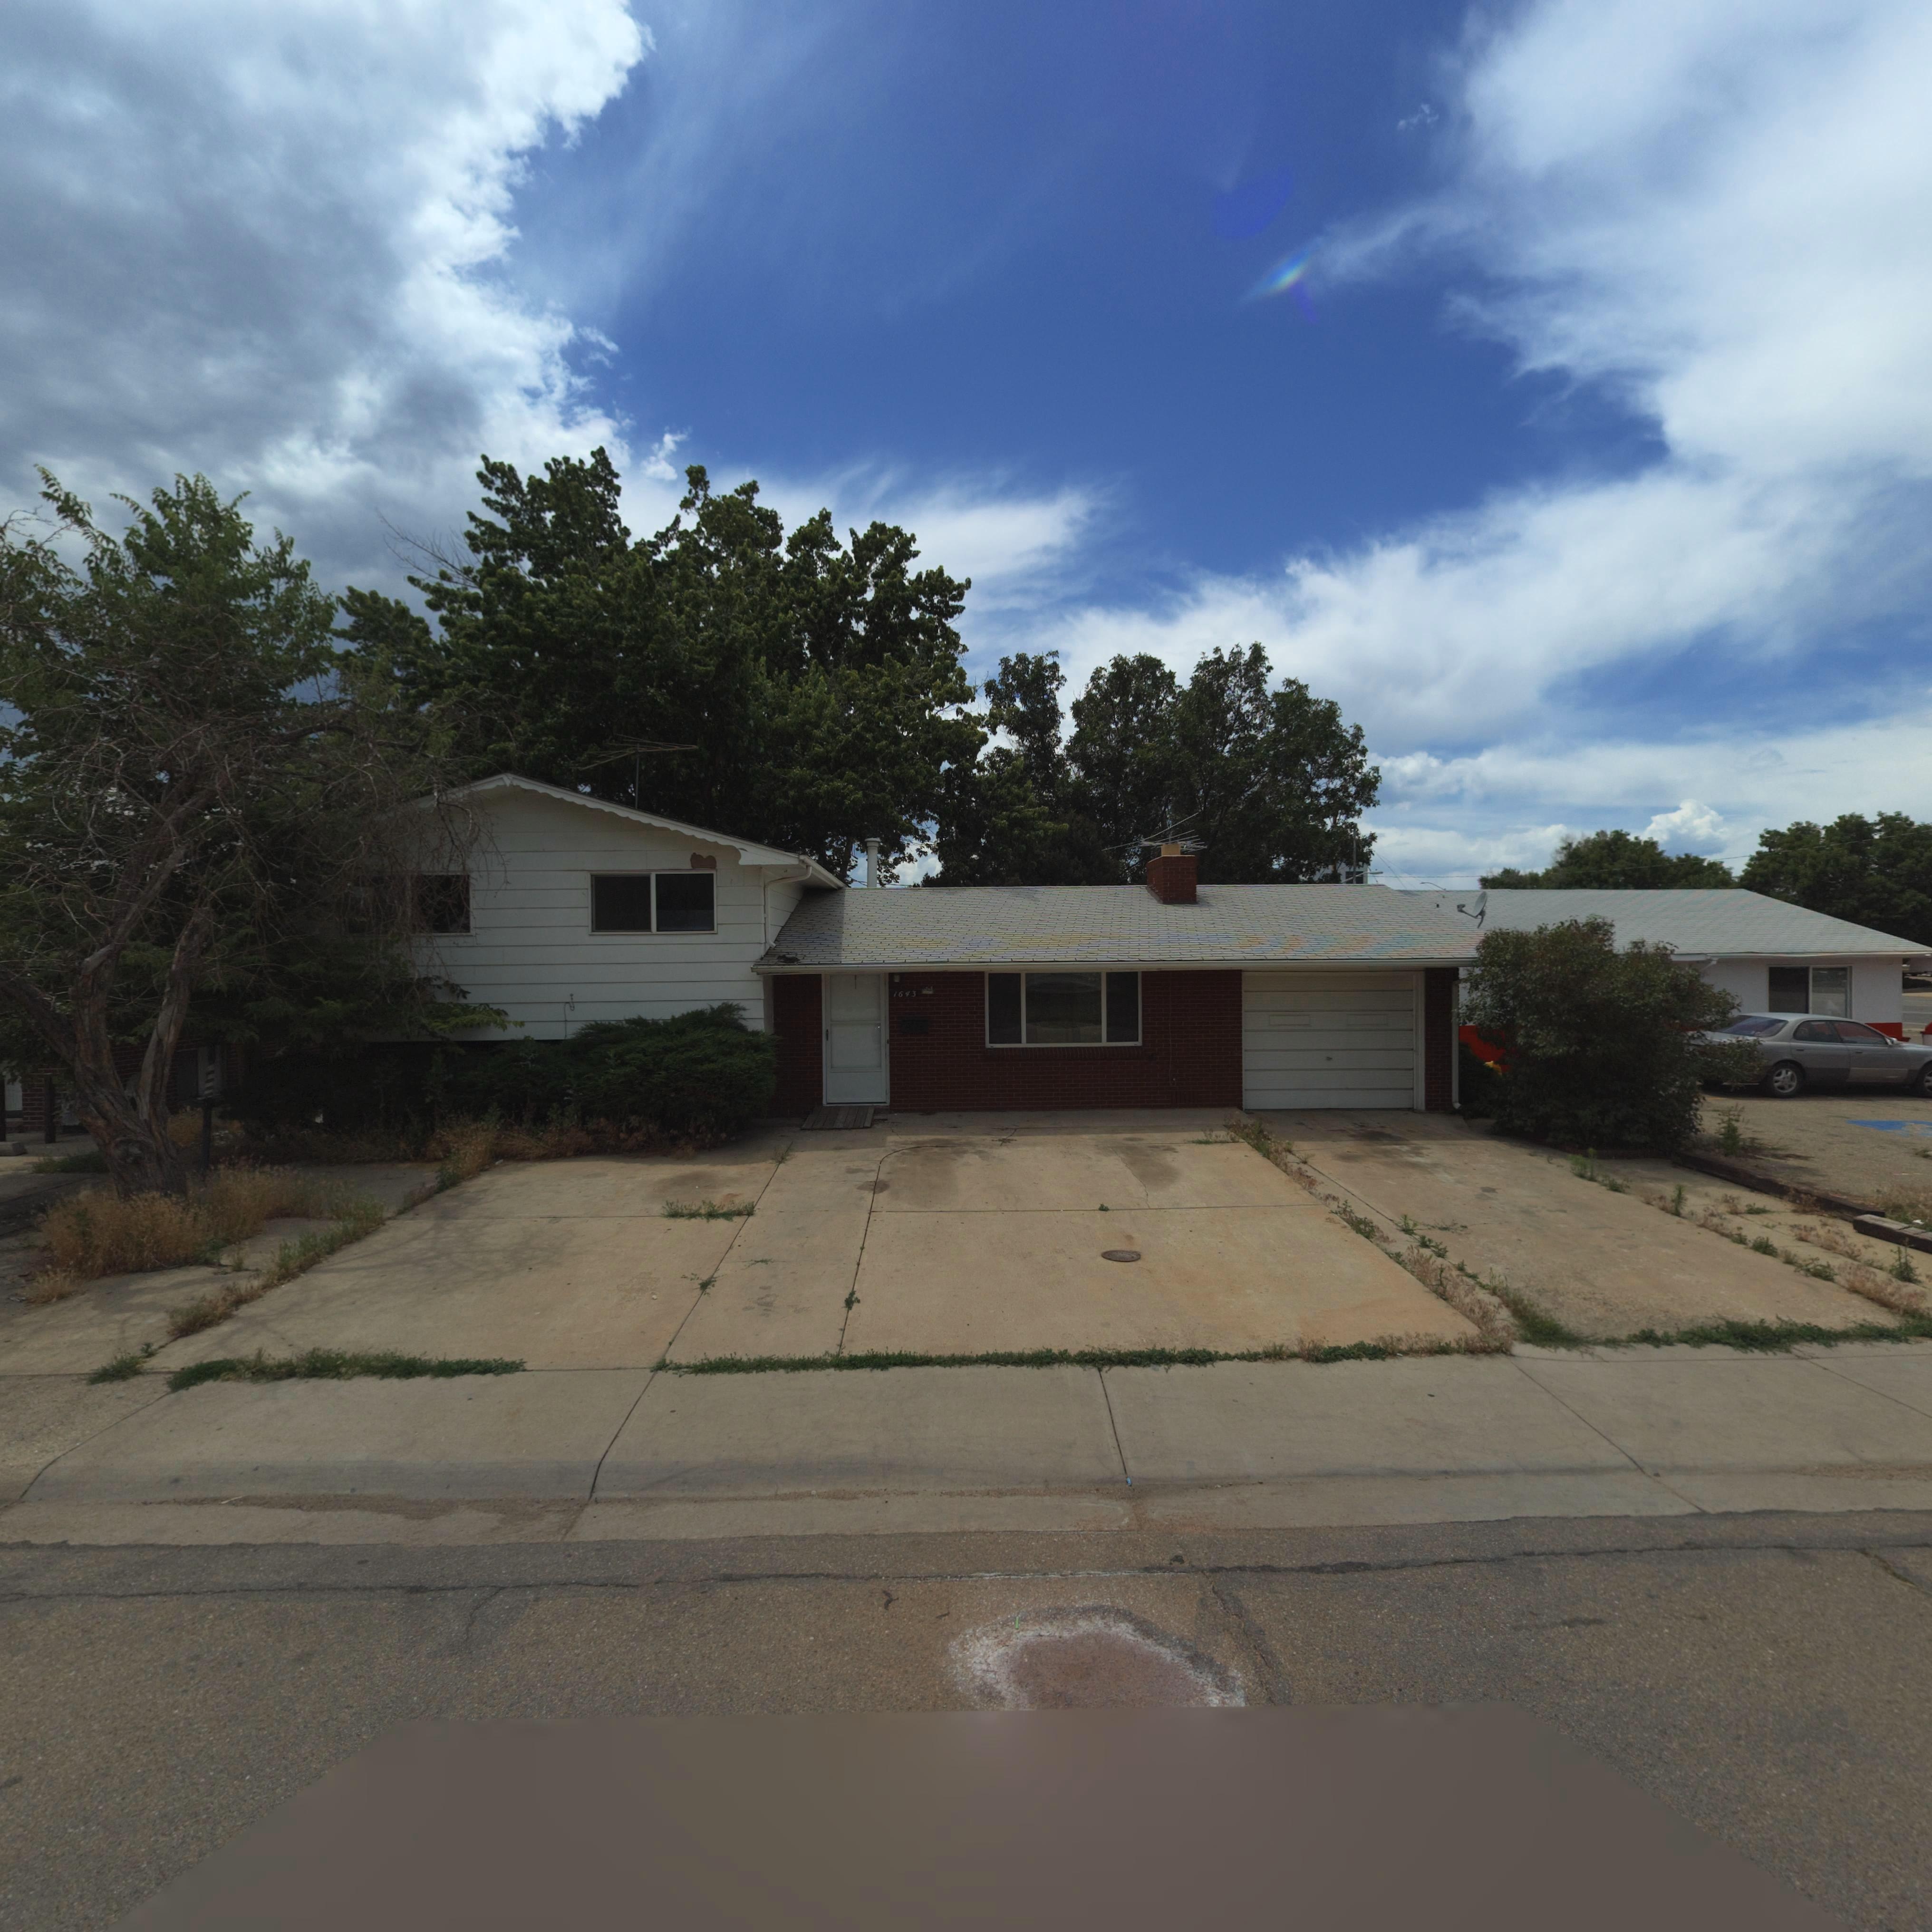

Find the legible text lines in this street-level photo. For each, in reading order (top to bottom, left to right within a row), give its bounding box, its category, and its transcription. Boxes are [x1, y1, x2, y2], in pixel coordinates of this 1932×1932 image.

[893, 990, 917, 997] StreetNumber: 1643